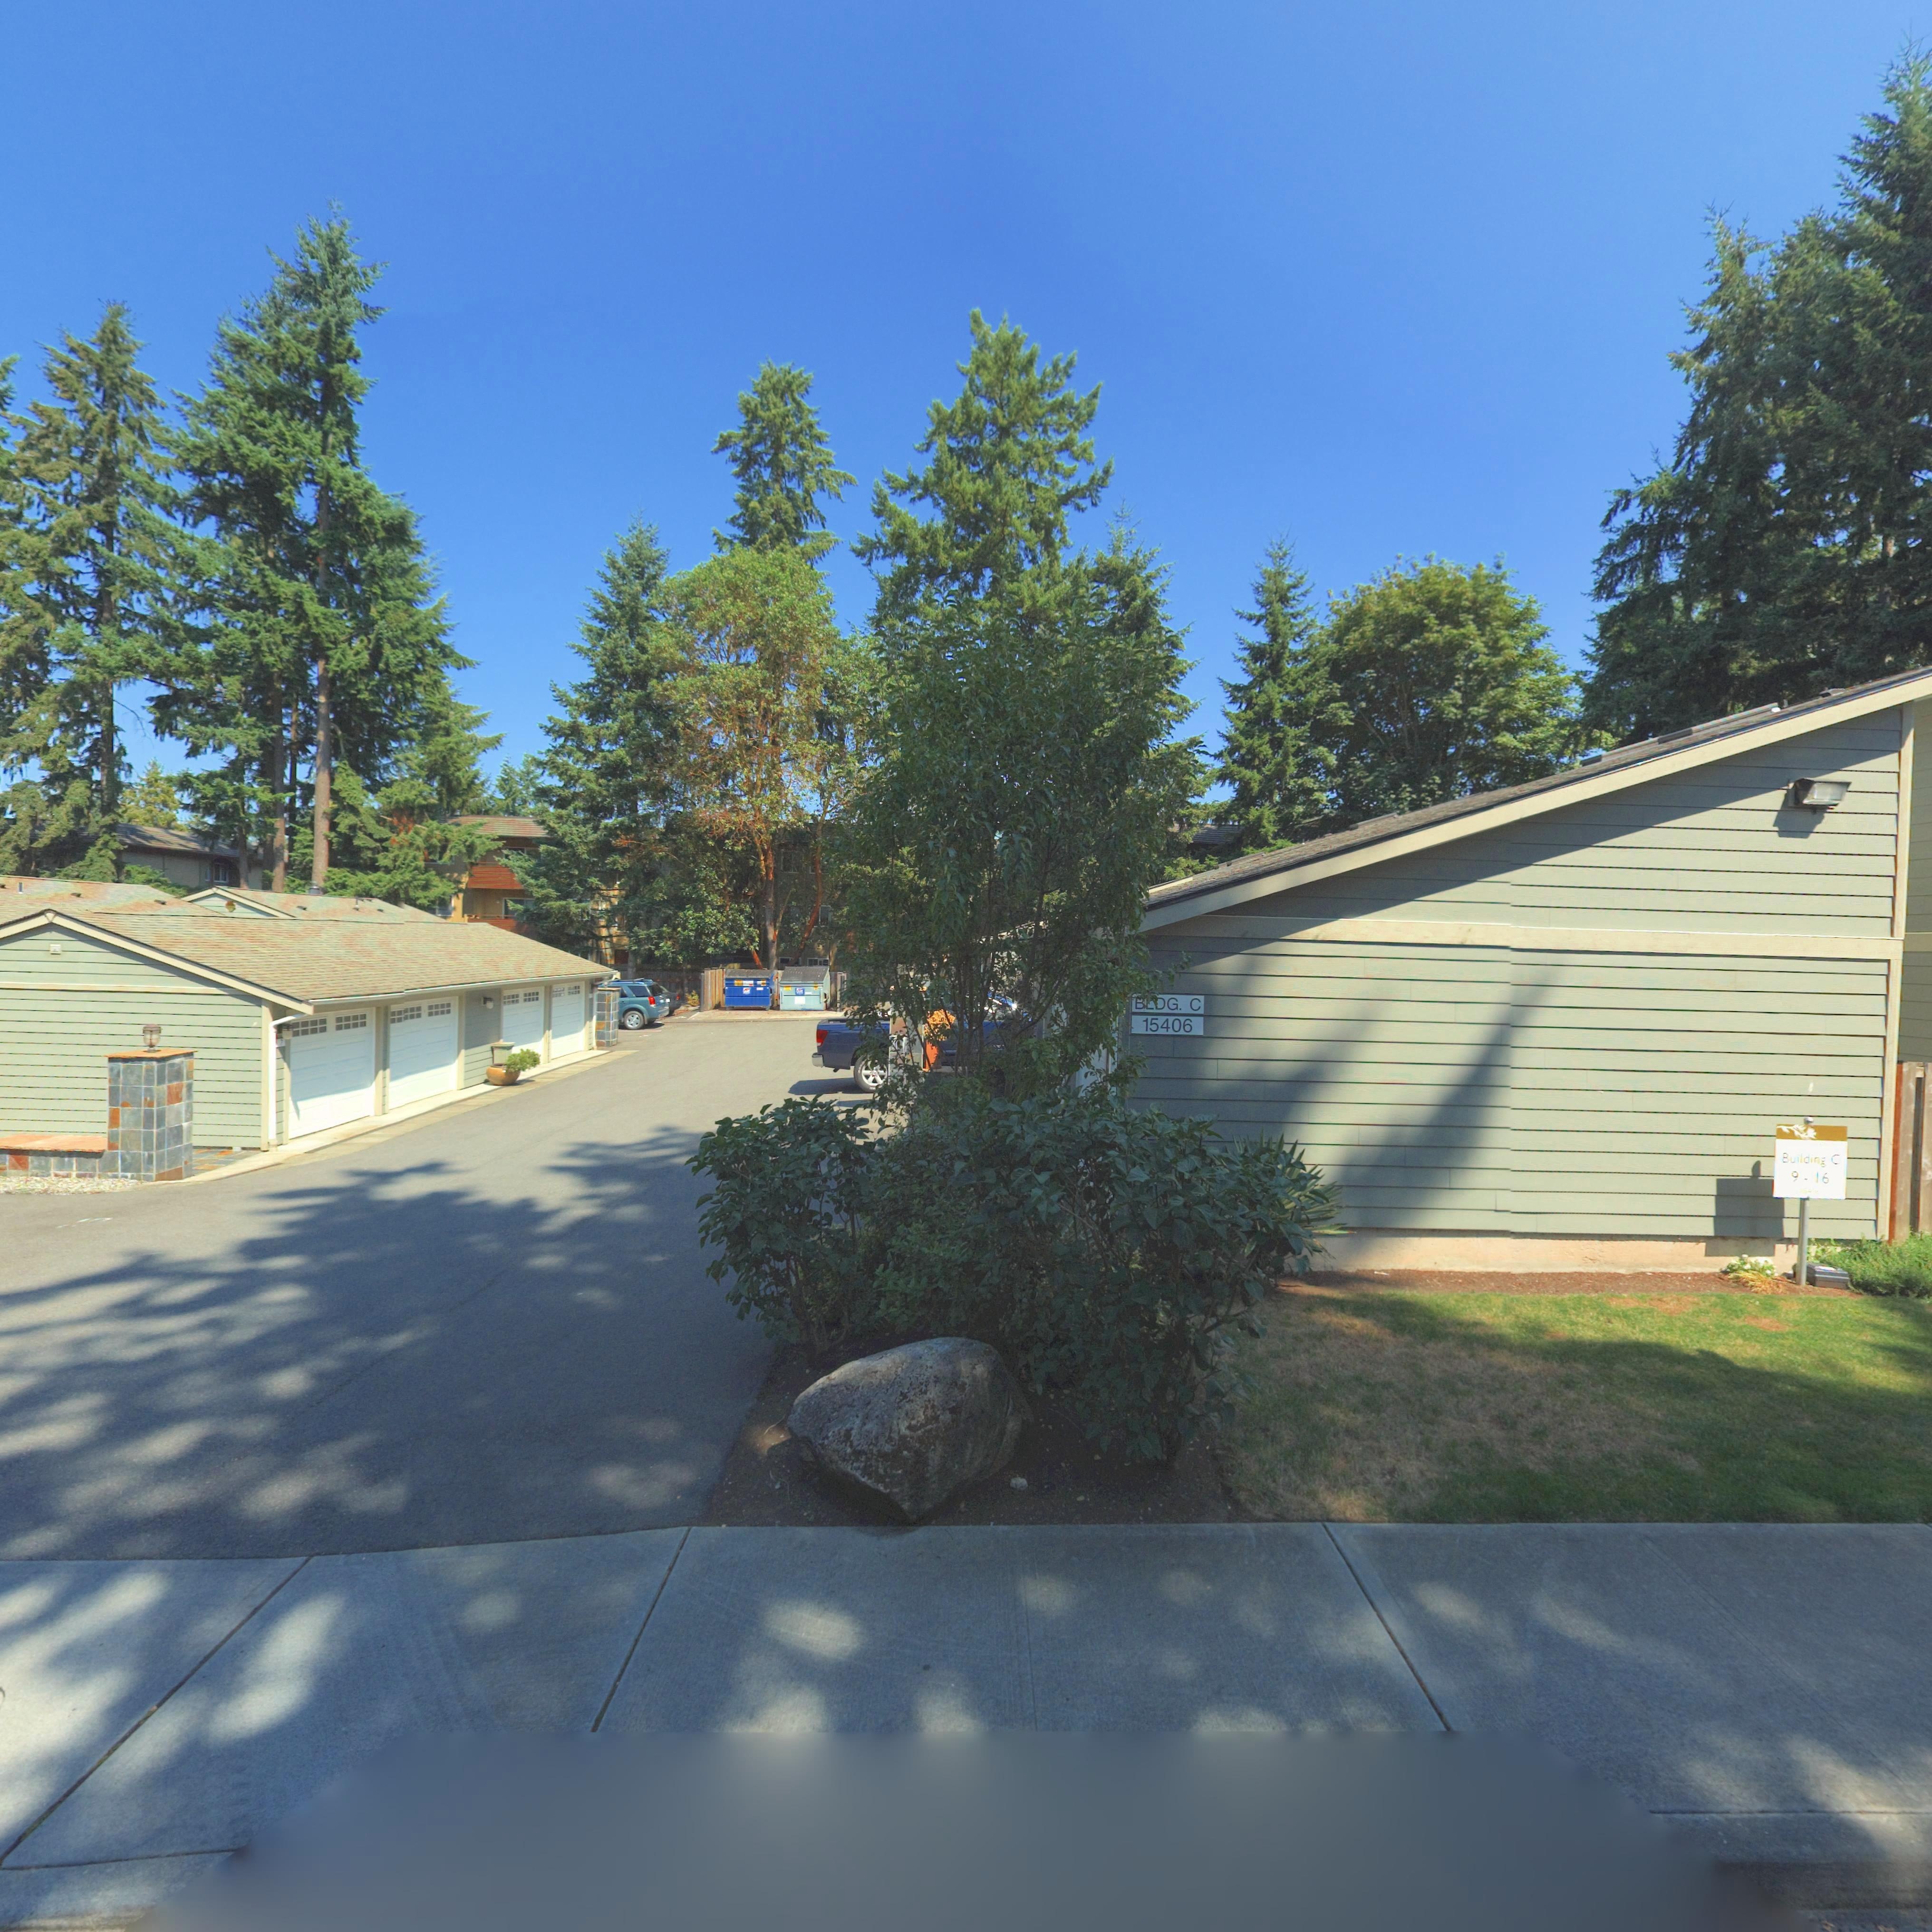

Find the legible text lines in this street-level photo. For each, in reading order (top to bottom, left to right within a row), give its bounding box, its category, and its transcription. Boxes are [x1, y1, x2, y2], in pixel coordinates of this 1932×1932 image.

[1132, 996, 1204, 1014] SecondaryUnitDesignator: BLDG. C
[1143, 1016, 1193, 1037] StreetNumber: 15406
[1781, 1150, 1840, 1168] SecondaryUnitDesignator: Building C
[1791, 1170, 1830, 1186] StreetNumber: 9-16